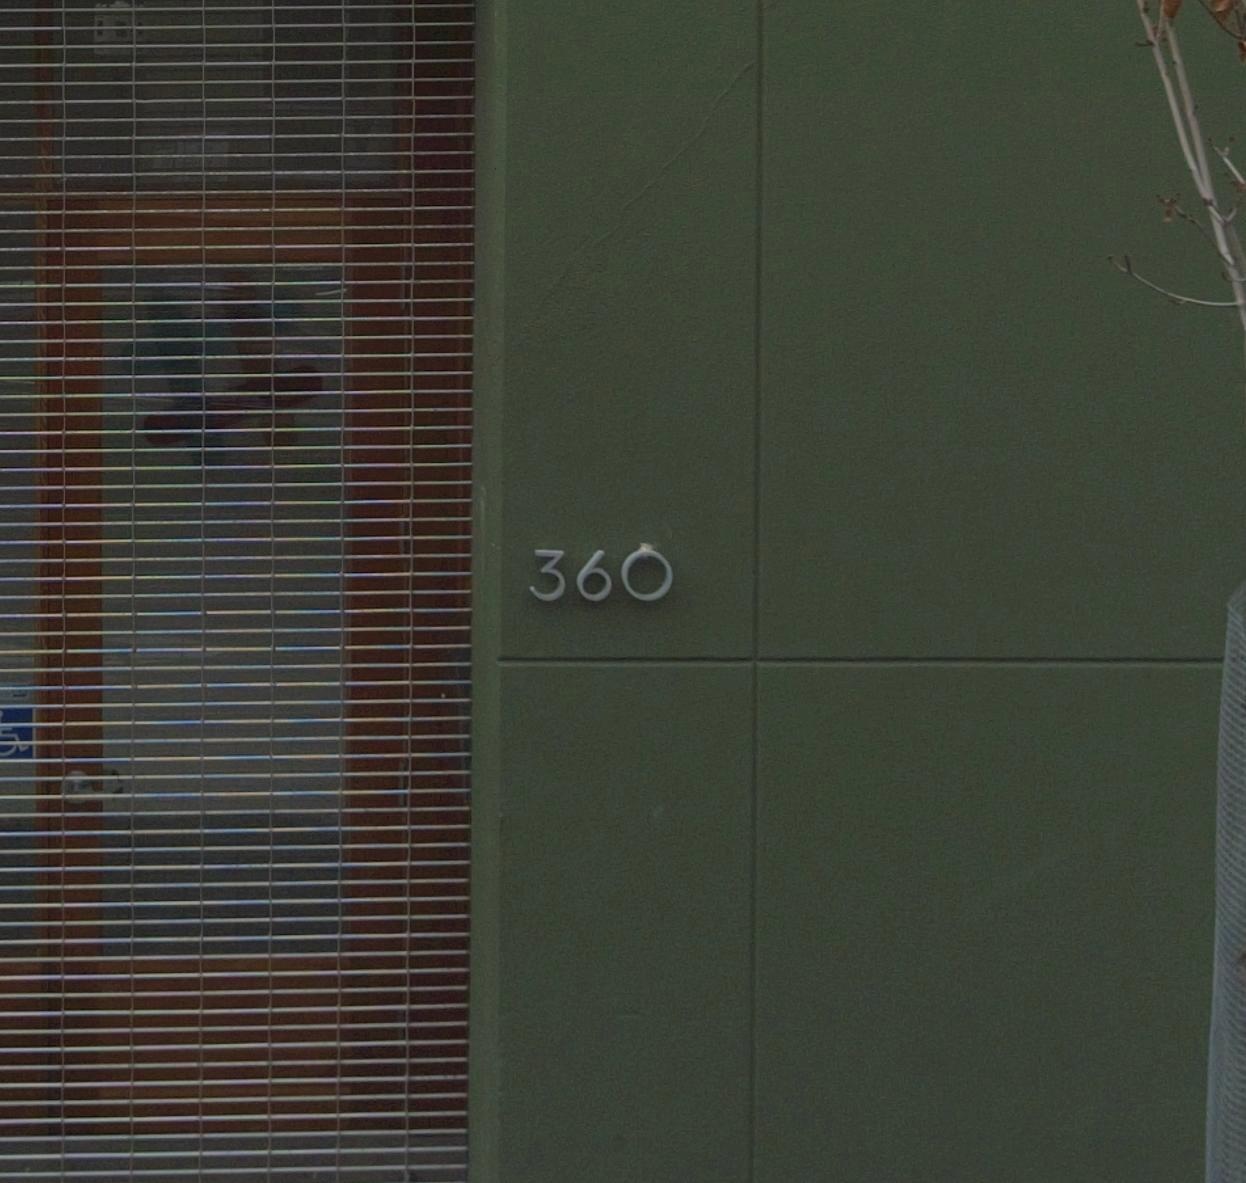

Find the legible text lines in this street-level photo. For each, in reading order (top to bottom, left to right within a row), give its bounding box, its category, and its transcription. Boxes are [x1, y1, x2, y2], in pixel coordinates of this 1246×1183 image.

[527, 546, 676, 606] StreetNumber: 360